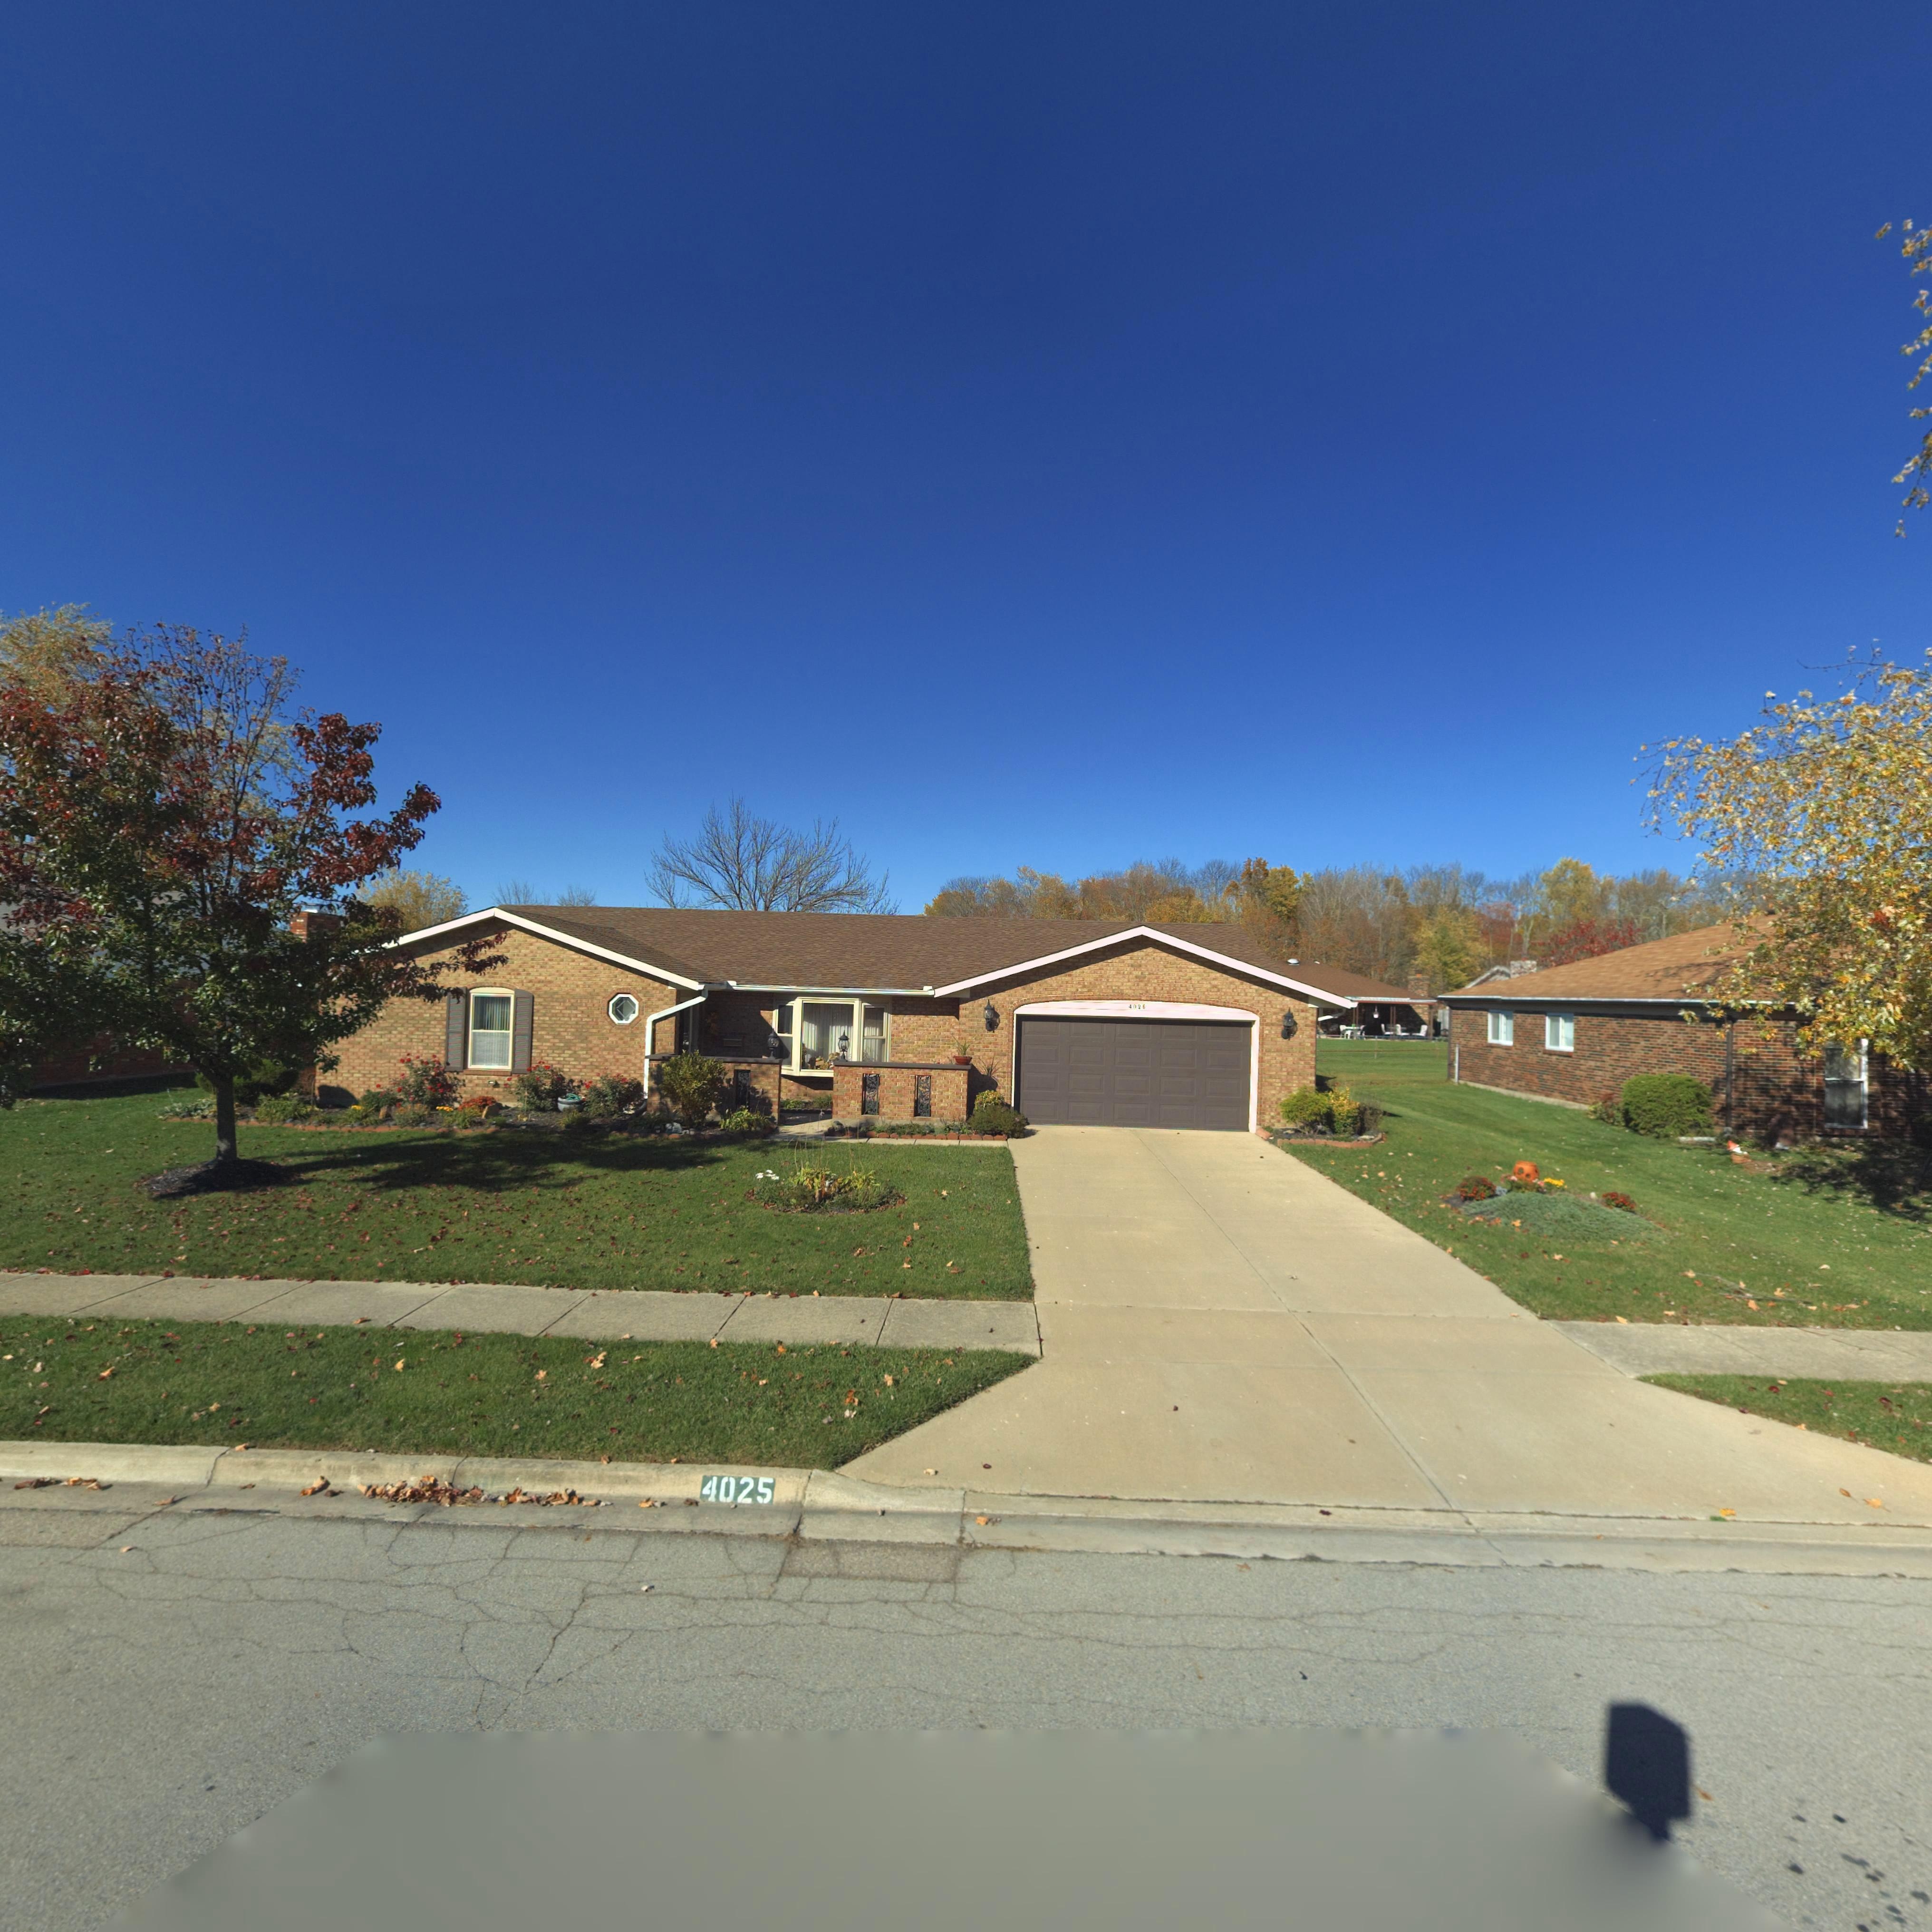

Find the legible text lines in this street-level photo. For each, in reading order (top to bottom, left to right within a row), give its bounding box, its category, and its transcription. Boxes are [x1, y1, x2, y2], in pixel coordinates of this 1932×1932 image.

[1128, 1004, 1146, 1009] StreetNumber: 4025
[701, 1476, 775, 1505] StreetNumber: 4025